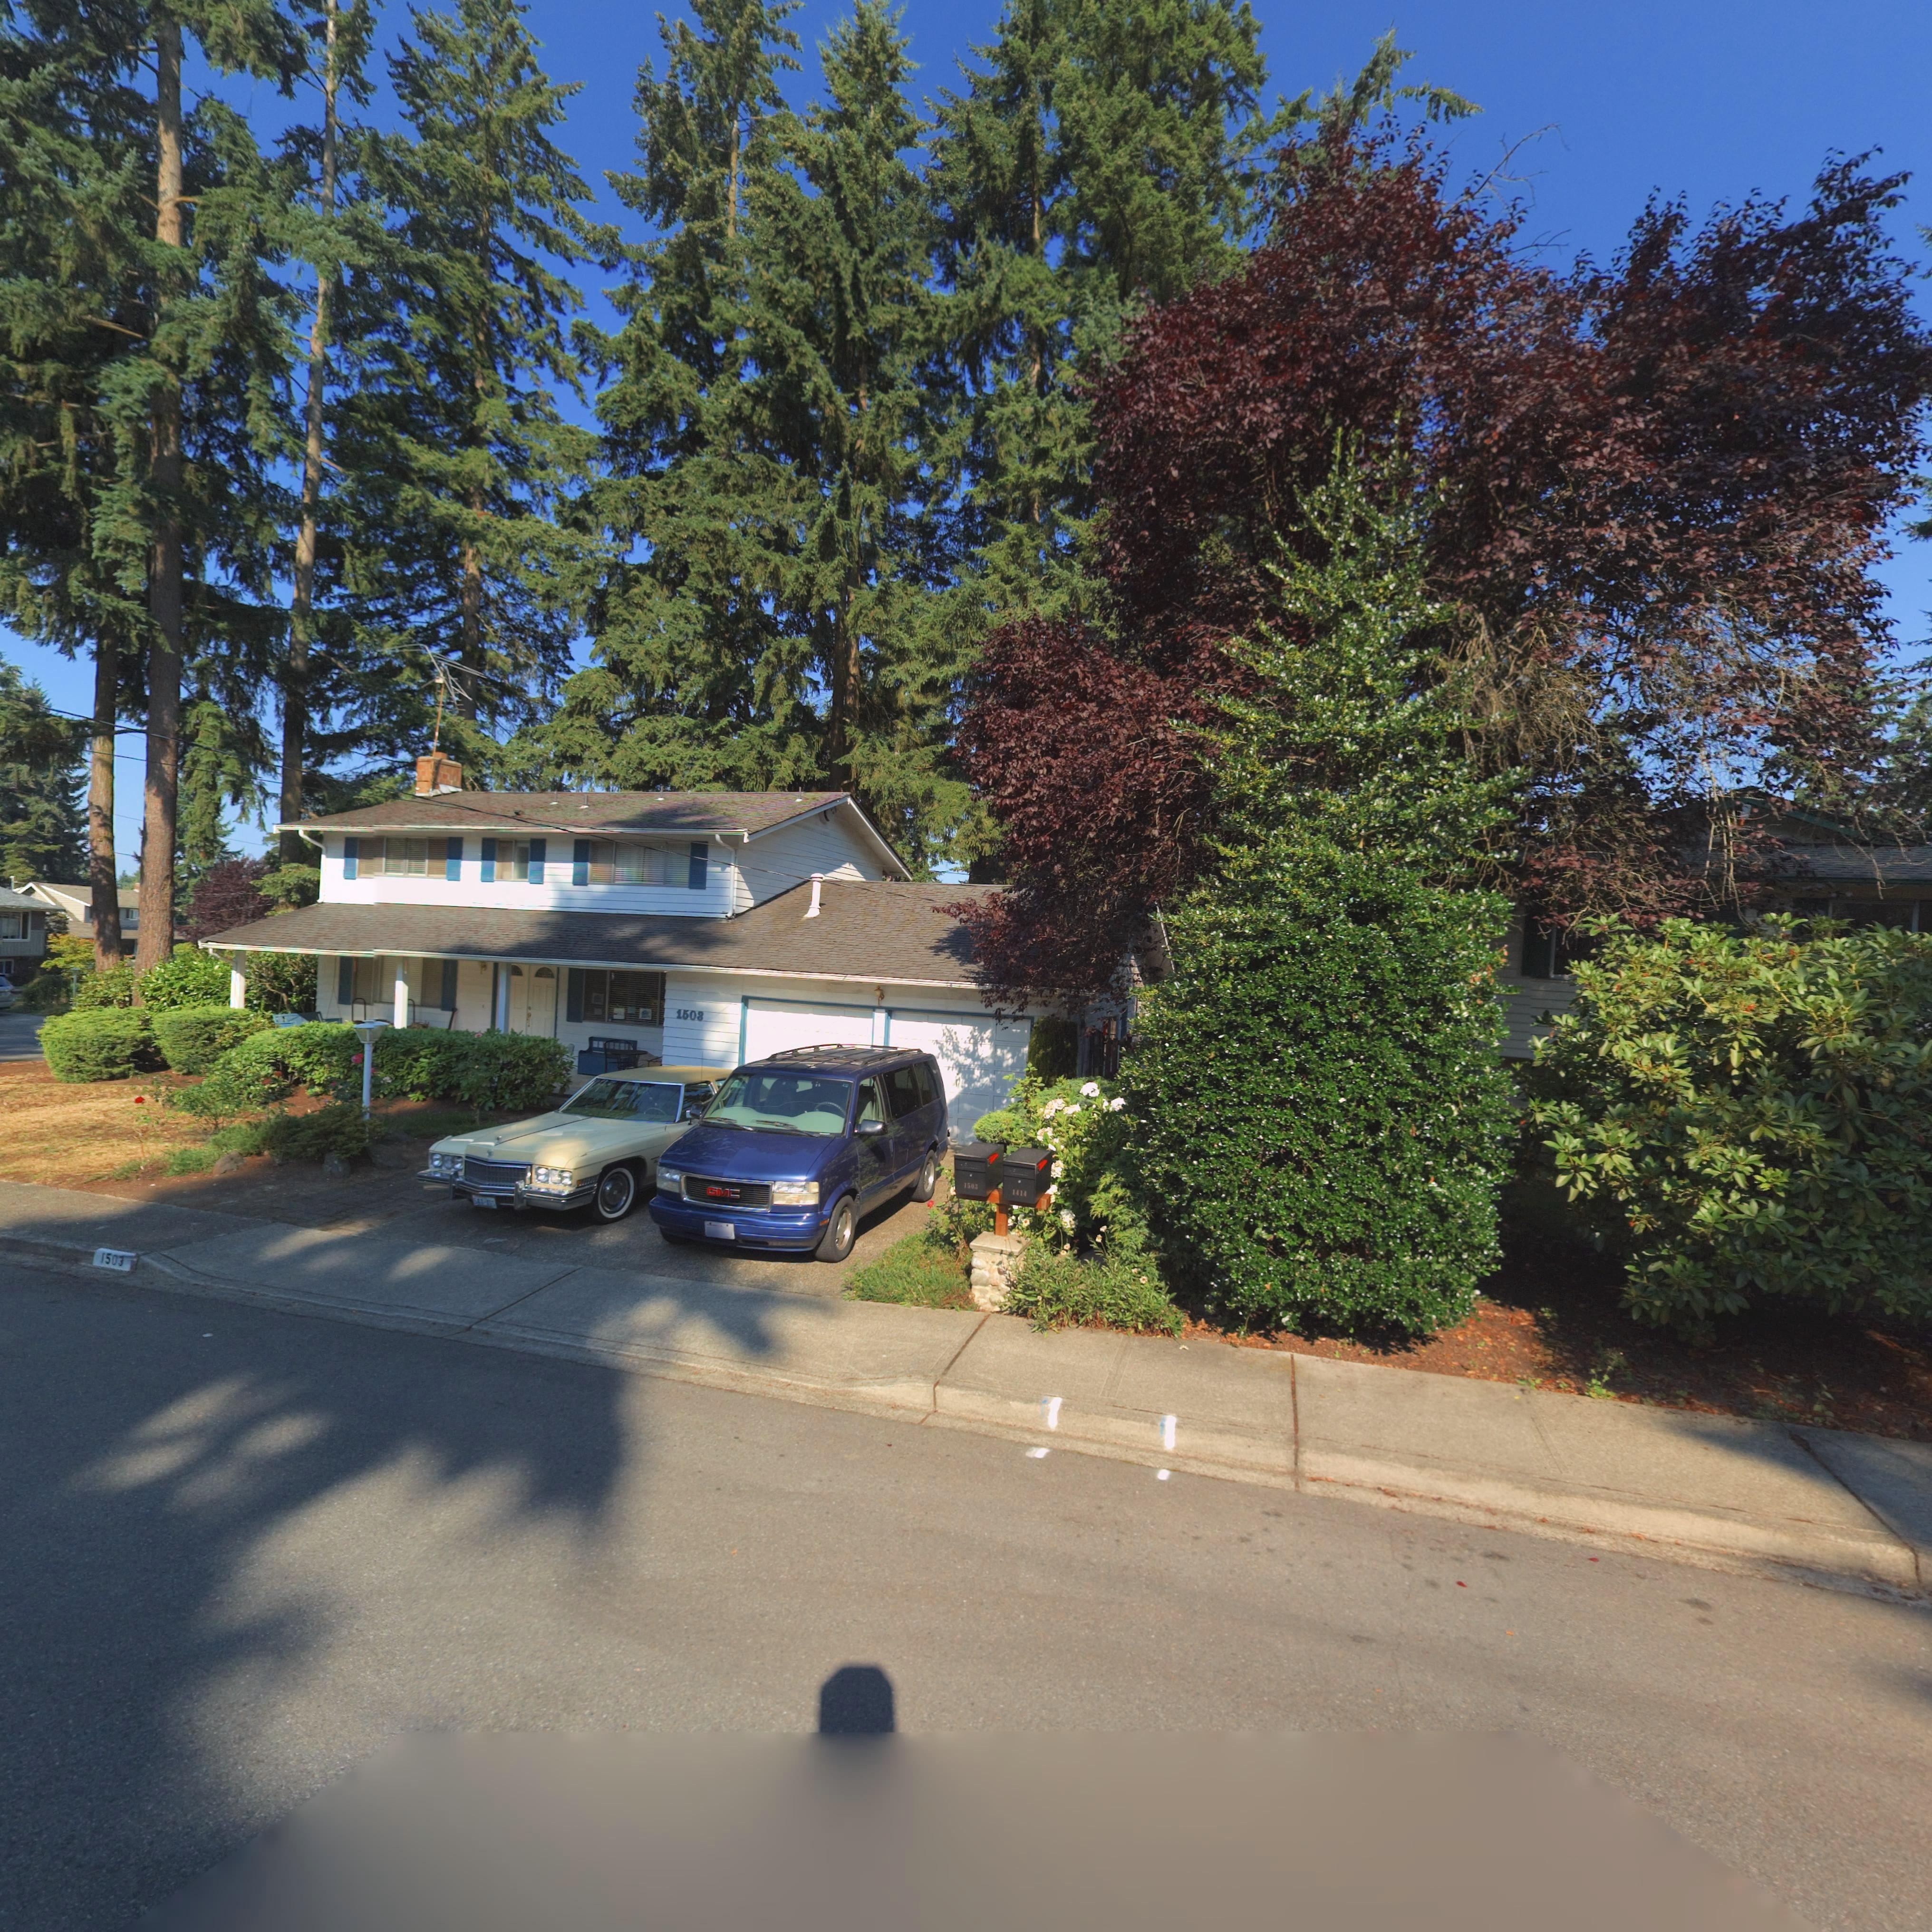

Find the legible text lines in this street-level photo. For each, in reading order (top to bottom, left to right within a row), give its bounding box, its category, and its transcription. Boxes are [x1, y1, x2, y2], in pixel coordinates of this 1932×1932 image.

[676, 1008, 704, 1022] StreetNumber: 1503
[964, 1181, 978, 1190] StreetNumber: 1503
[1012, 1188, 1027, 1197] StreetNumber: 1414
[100, 1252, 125, 1267] StreetNumber: 1503